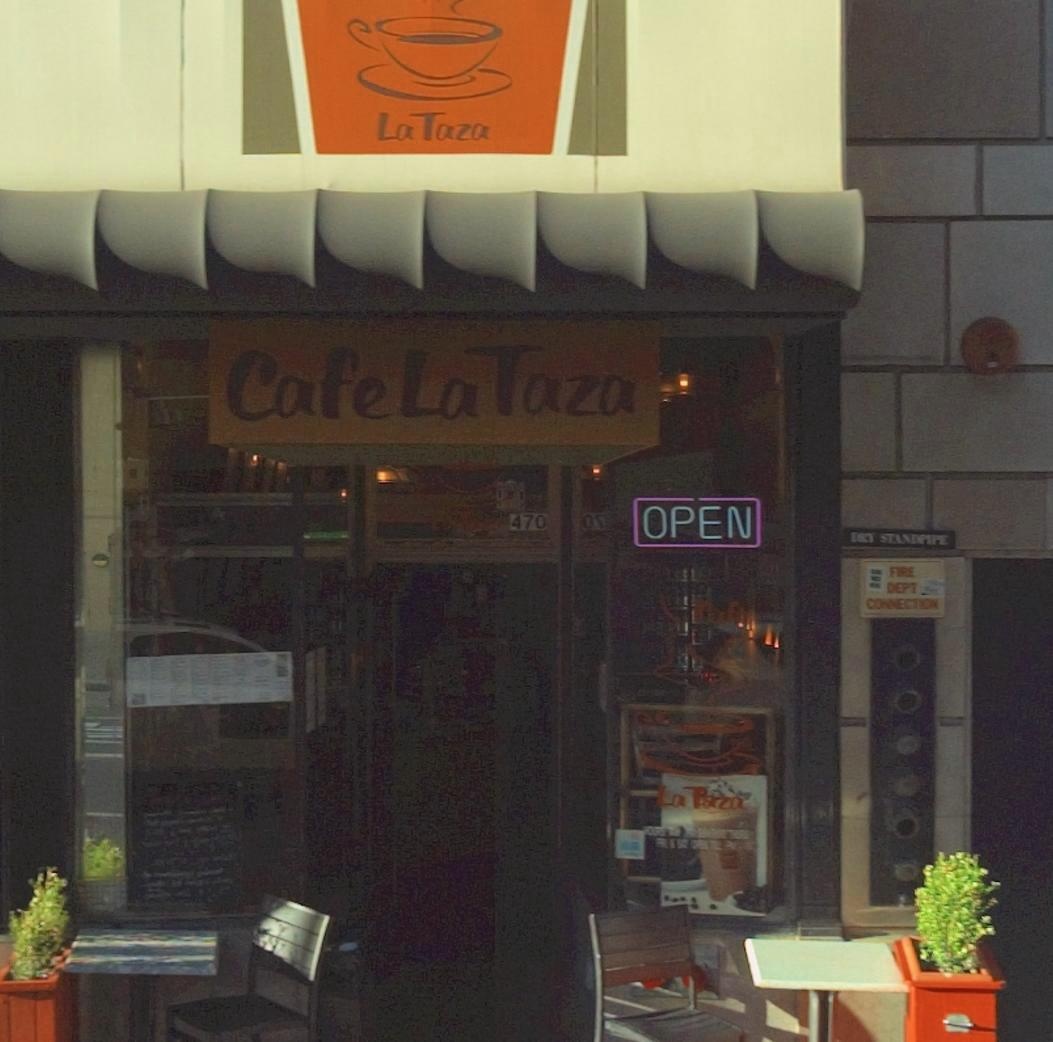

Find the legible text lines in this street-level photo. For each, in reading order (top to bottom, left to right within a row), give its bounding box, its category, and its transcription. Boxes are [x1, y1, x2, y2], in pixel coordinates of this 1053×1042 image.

[371, 109, 492, 142] BusinessName: La Taza
[224, 343, 641, 425] BusinessName: Cafe La Taza
[508, 512, 548, 532] StreetNumber: 470
[640, 503, 753, 542] None: OPEN
[850, 530, 950, 547] None: DRY STANDPIPE
[888, 565, 914, 578] None: FIRE
[885, 580, 919, 595] None: DEPT
[865, 597, 940, 610] None: CONNECTION
[654, 782, 746, 812] BusinessName: La T*za